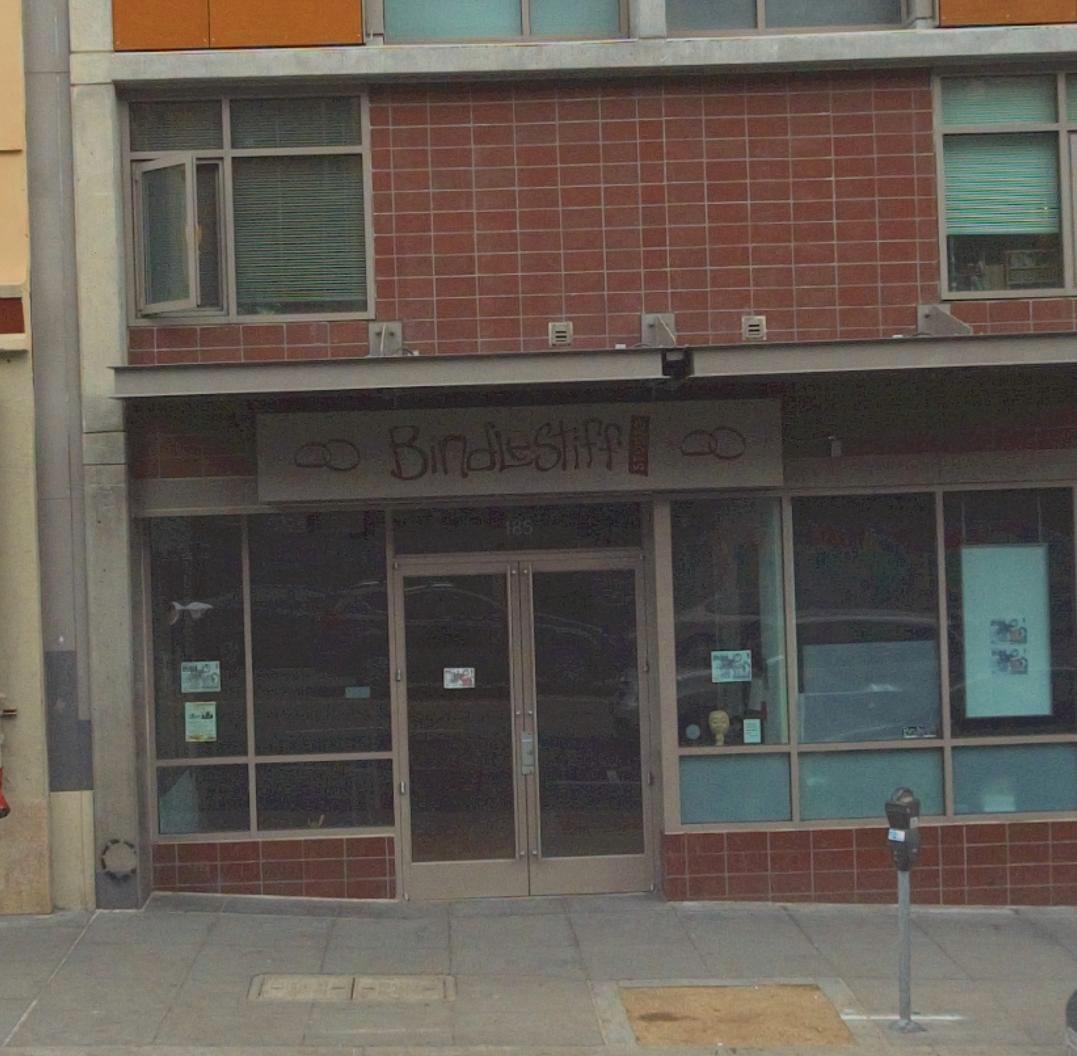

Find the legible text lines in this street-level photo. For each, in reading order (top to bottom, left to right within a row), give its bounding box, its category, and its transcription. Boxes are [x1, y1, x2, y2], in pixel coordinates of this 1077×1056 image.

[380, 412, 628, 485] BusinessName: BindLeStiff
[630, 451, 648, 474] BusinessName: ST
[504, 517, 536, 538] StreetNumber: 185